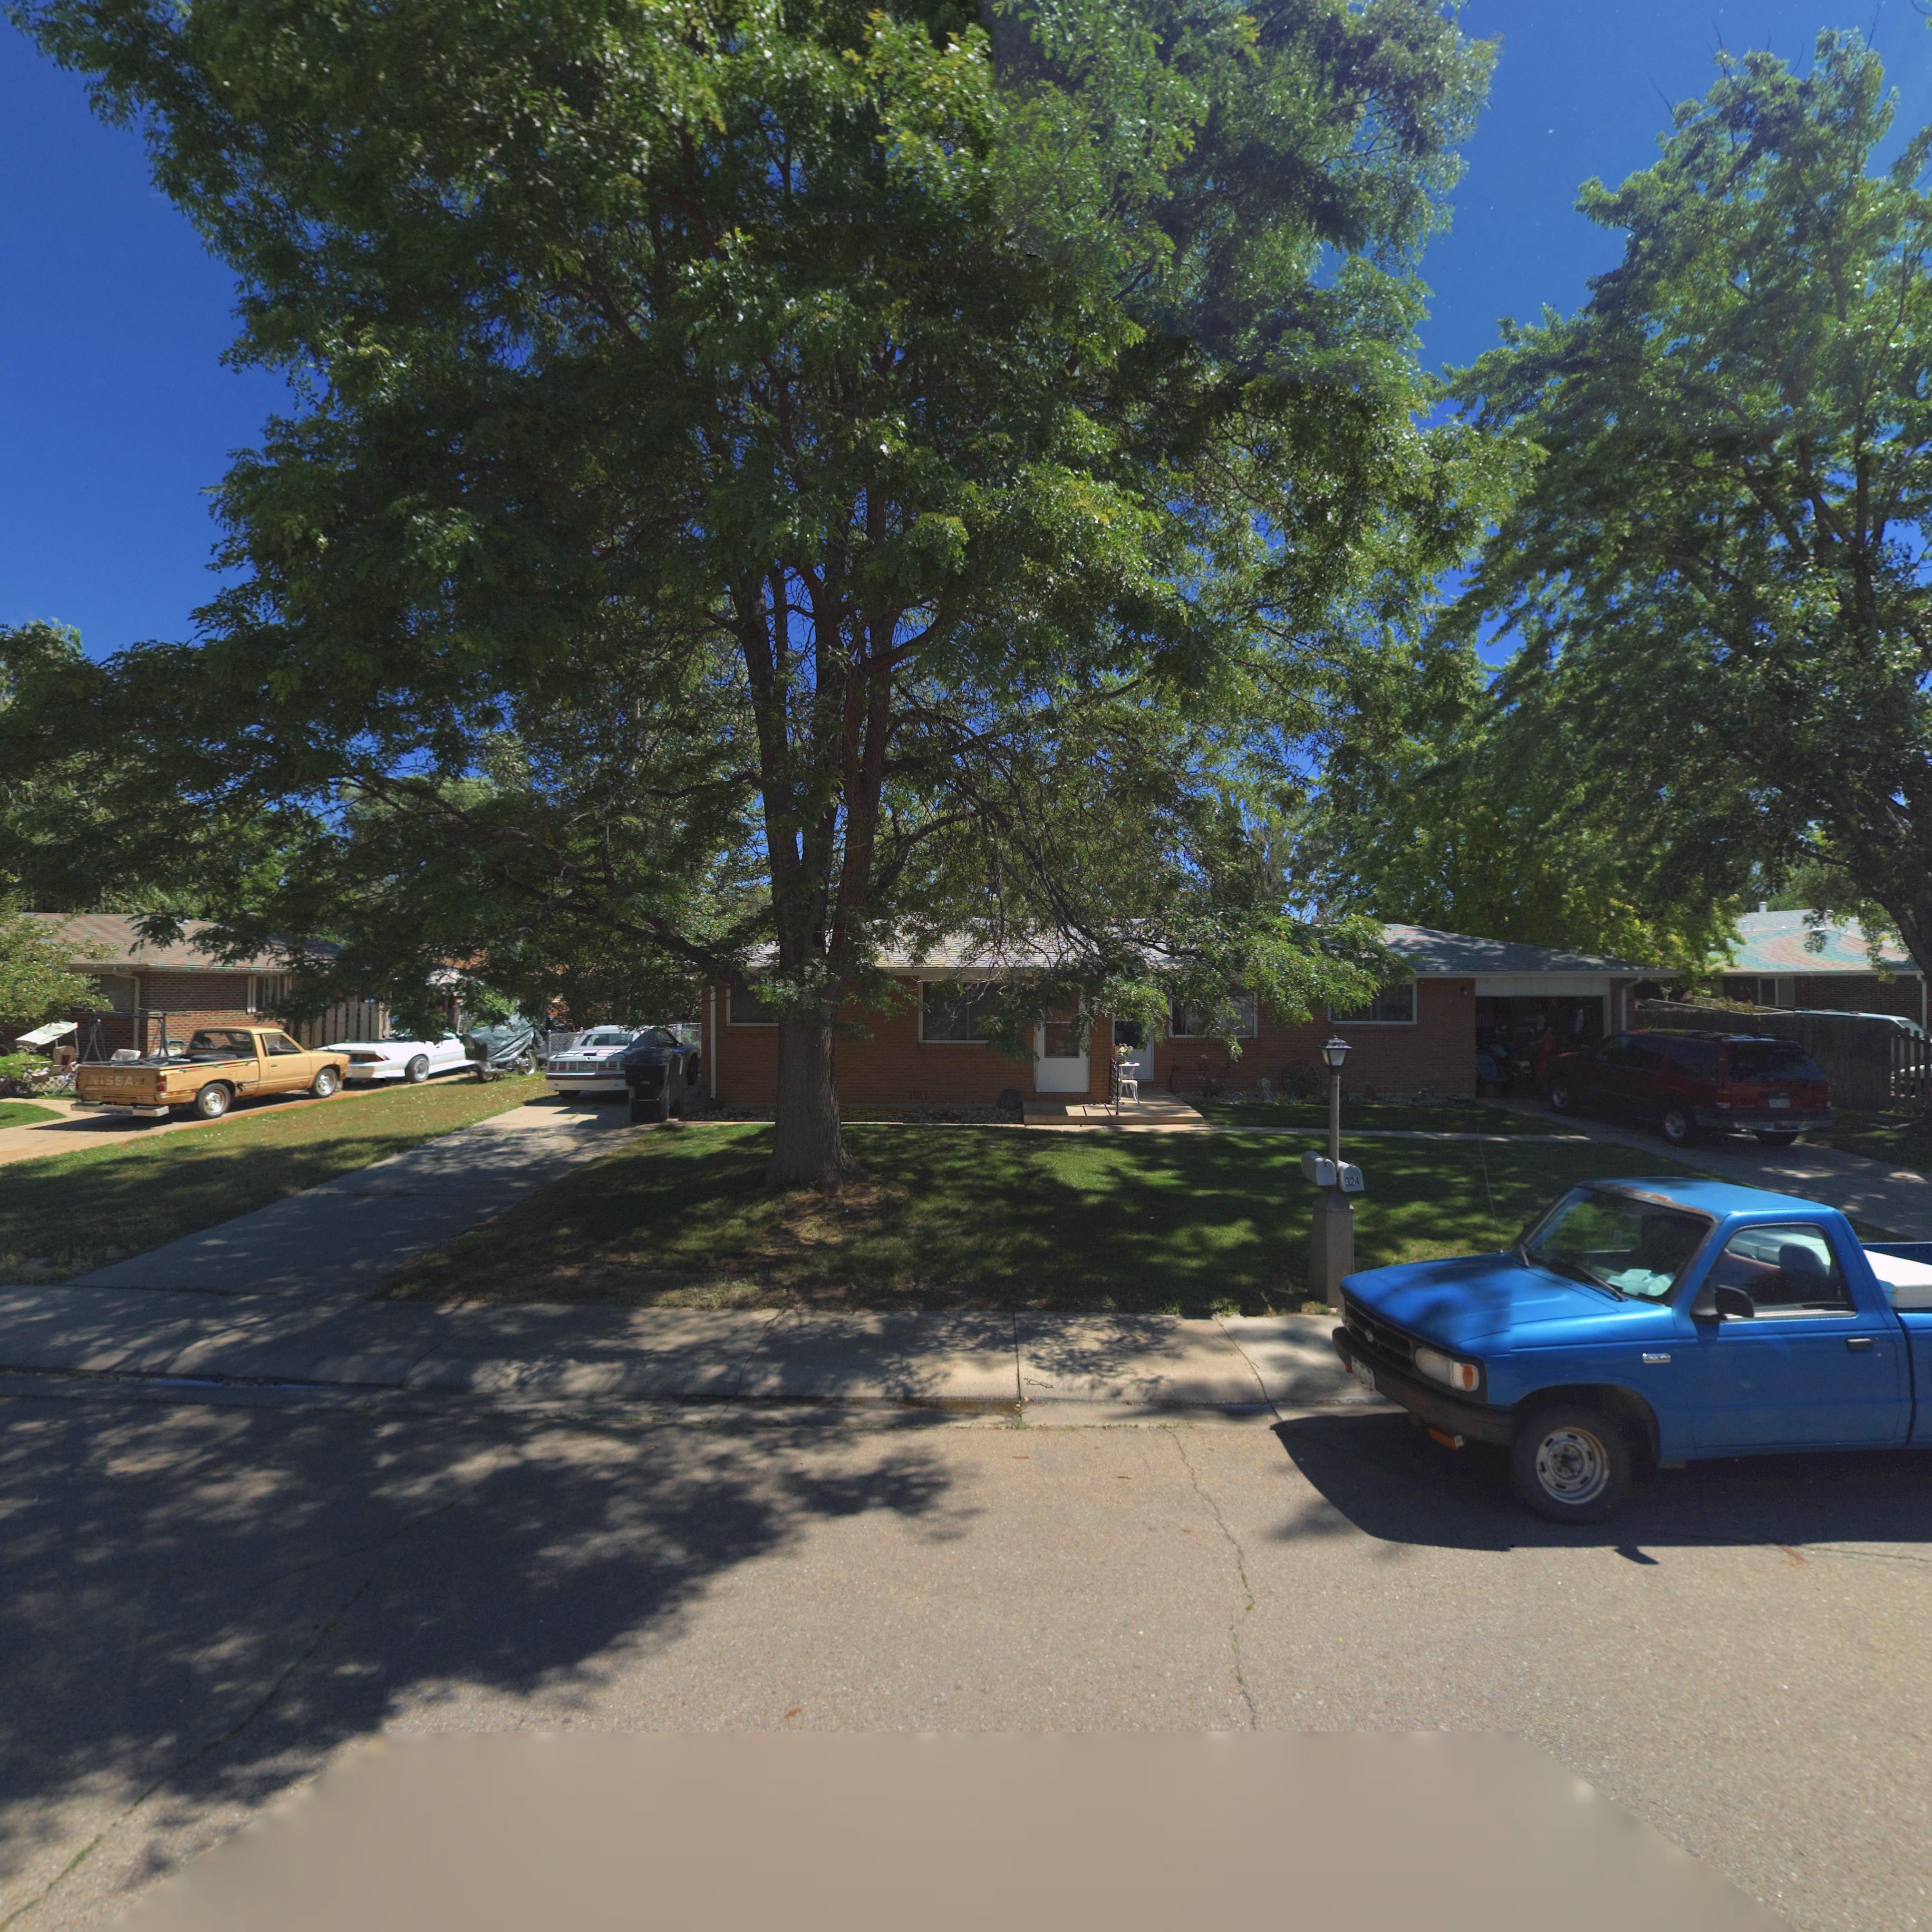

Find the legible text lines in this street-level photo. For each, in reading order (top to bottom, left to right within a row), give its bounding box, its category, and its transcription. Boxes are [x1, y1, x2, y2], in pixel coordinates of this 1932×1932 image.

[1344, 1175, 1361, 1187] StreetNumber: 524